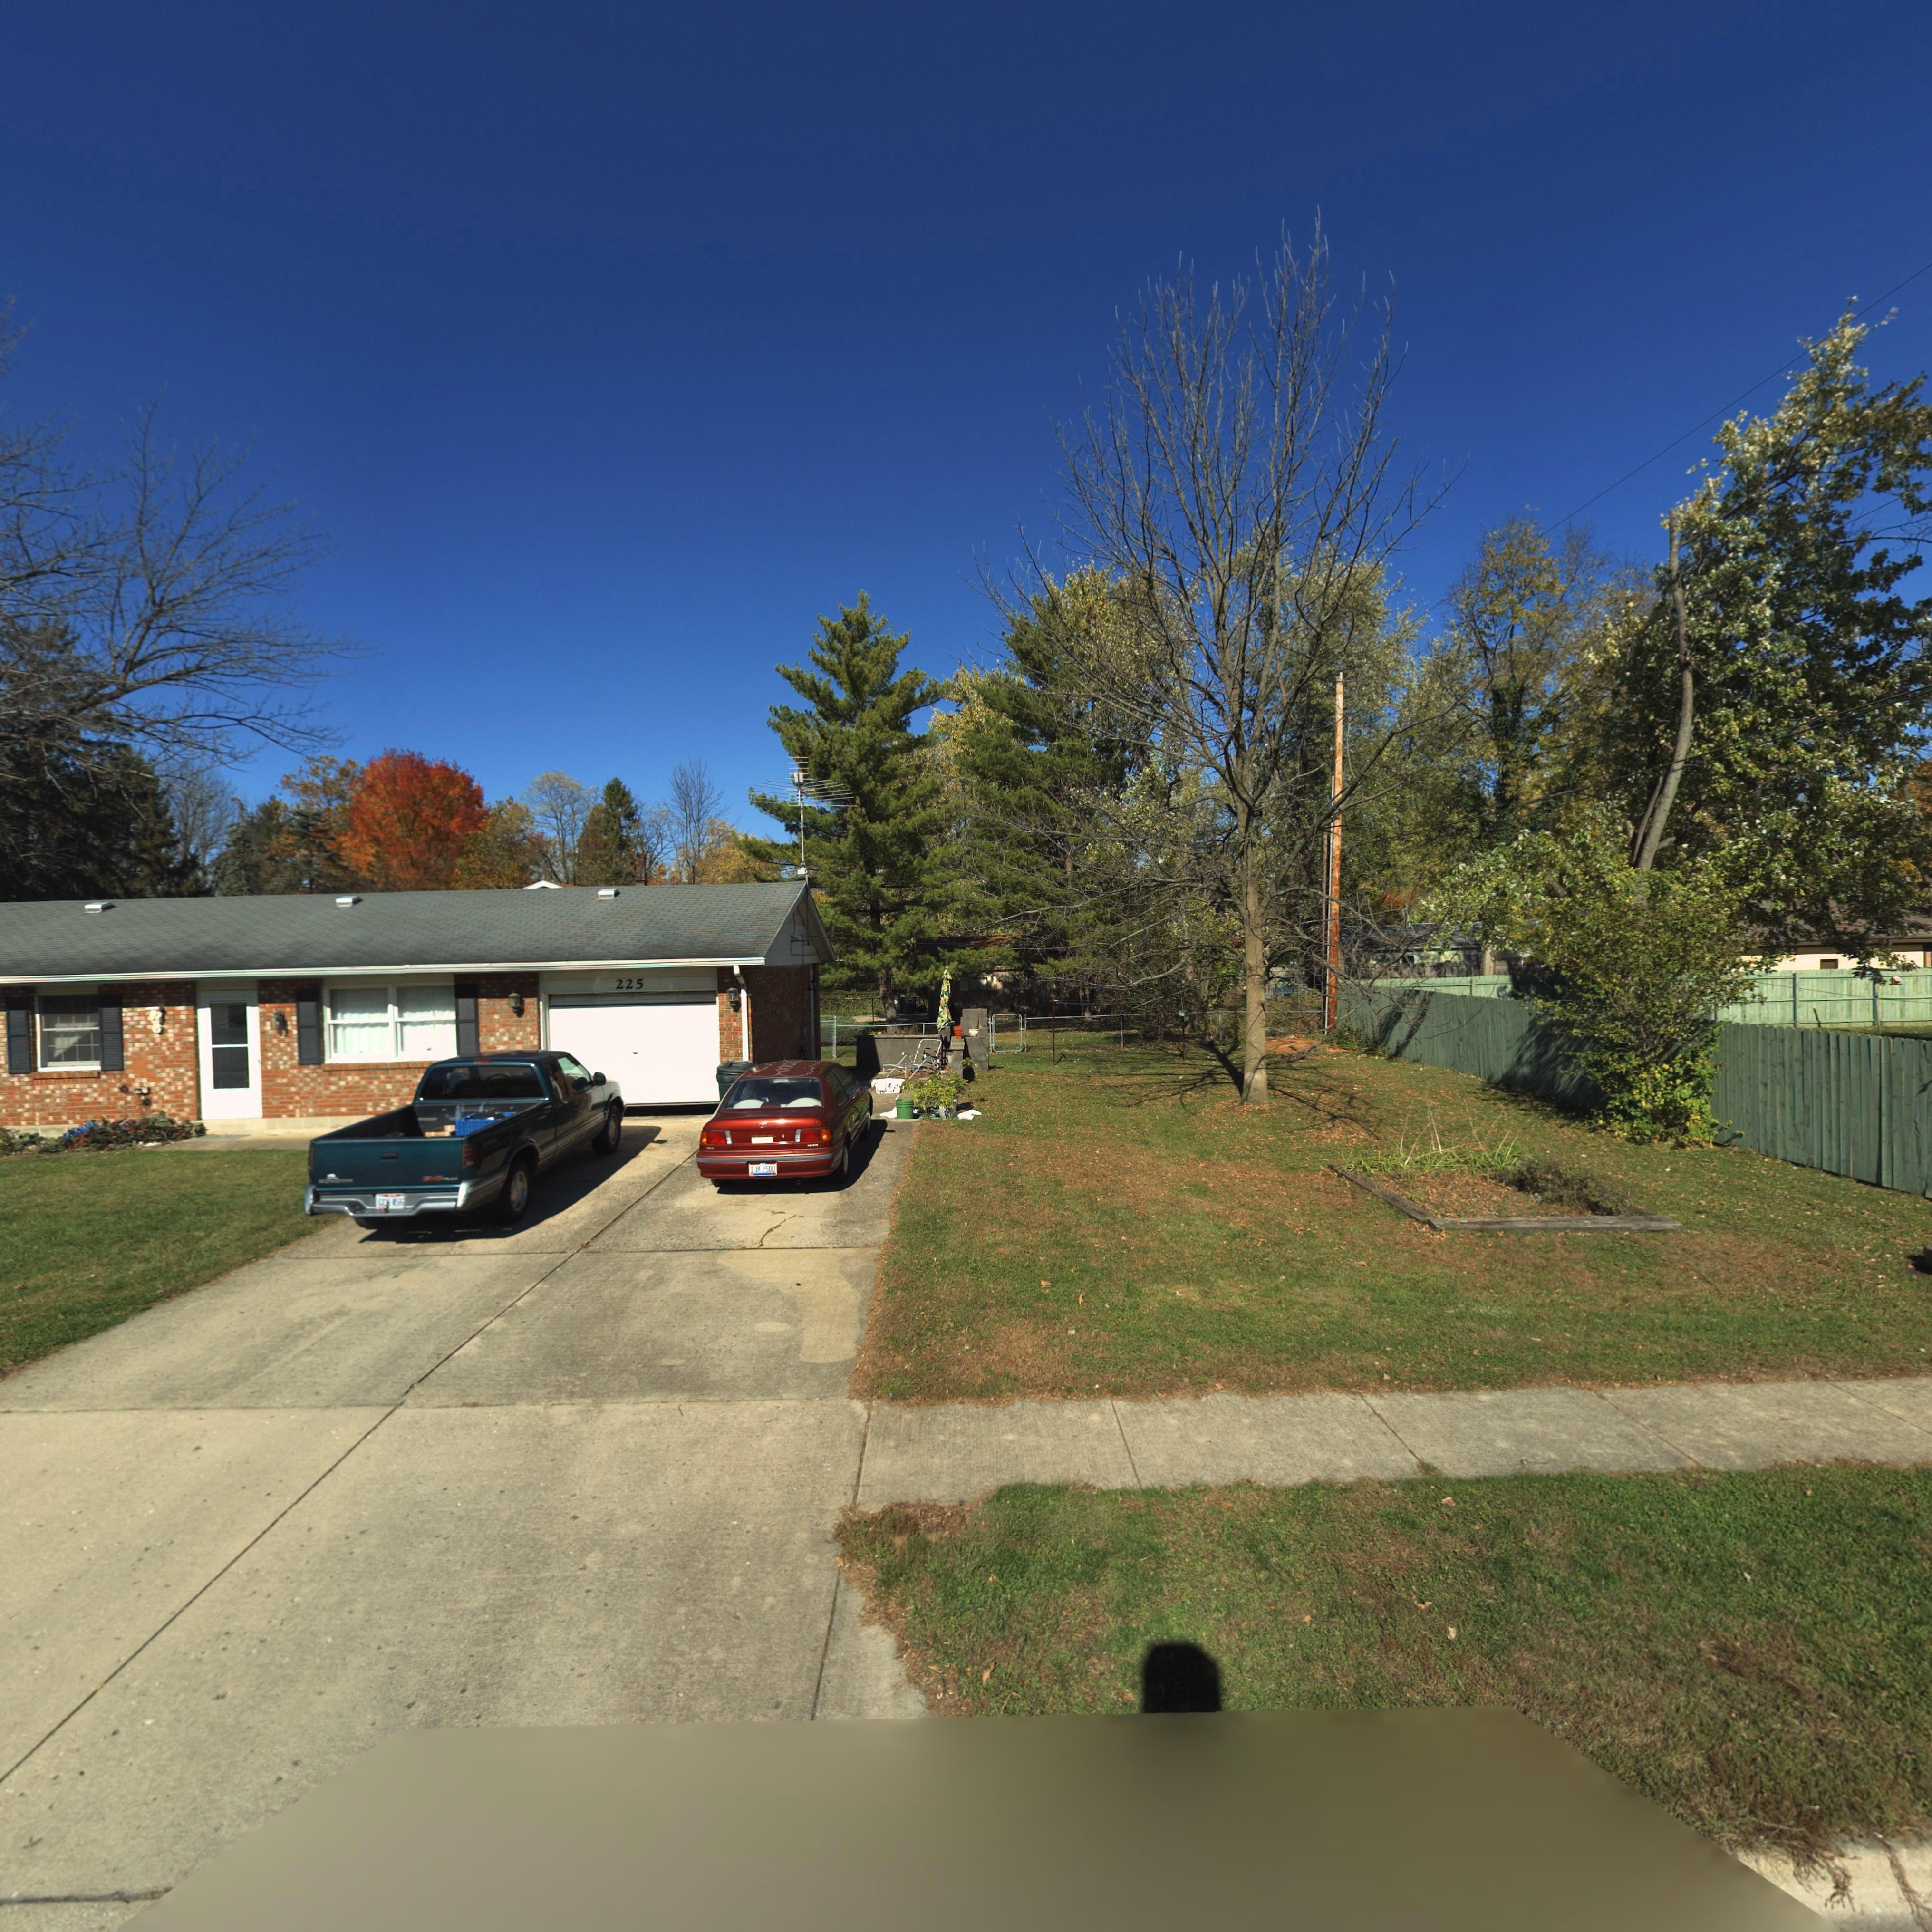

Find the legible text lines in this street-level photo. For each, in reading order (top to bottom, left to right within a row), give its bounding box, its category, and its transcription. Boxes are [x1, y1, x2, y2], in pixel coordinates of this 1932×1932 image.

[615, 978, 644, 990] StreetNumber: 225